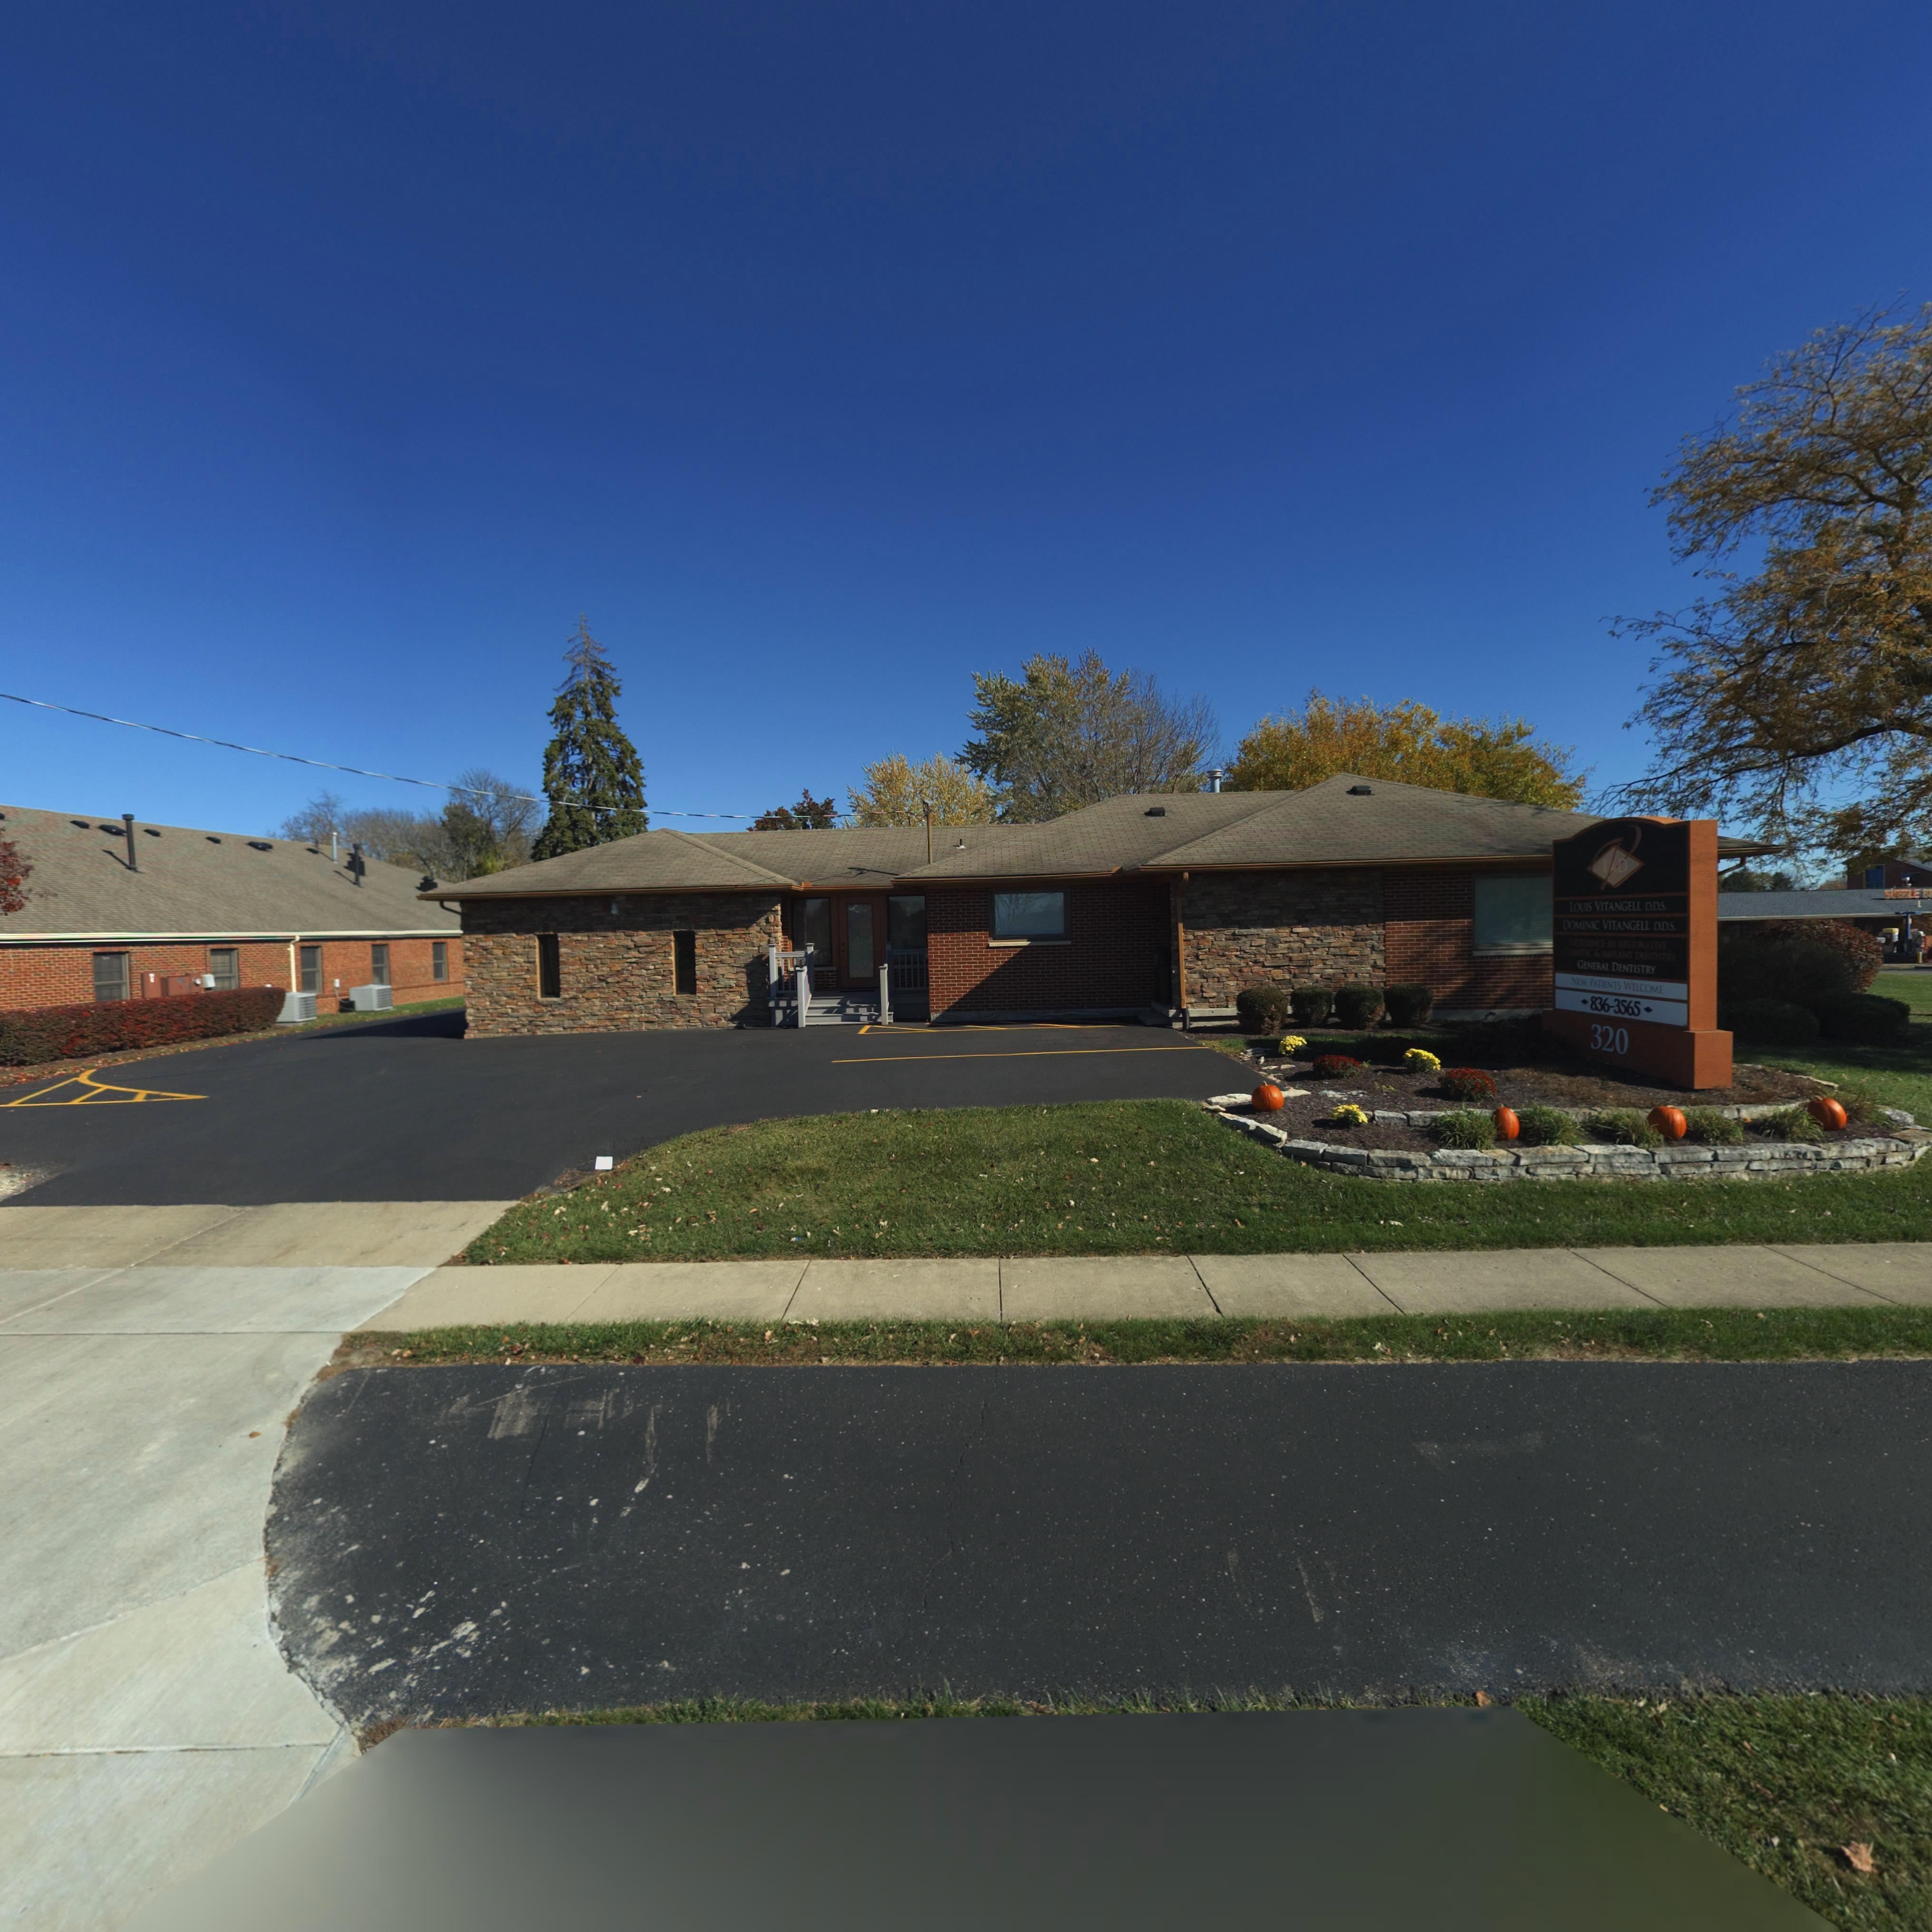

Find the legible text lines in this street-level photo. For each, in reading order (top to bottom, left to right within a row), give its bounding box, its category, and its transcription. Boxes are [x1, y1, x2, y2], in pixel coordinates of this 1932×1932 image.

[1602, 858, 1629, 875] None: L*D
[1568, 899, 1669, 913] None: LOUIS VITANGELL D.D.S.
[1561, 918, 1678, 933] None: DOMINIC VITANGELL D.D.S.
[1576, 959, 1658, 976] None: GENERAL DENTISTRY
[1570, 976, 1664, 995] None: NEW PATIENTS WELCOME
[1589, 995, 1642, 1017] None: 836-3565
[1589, 1022, 1630, 1056] StreetNumber: 320